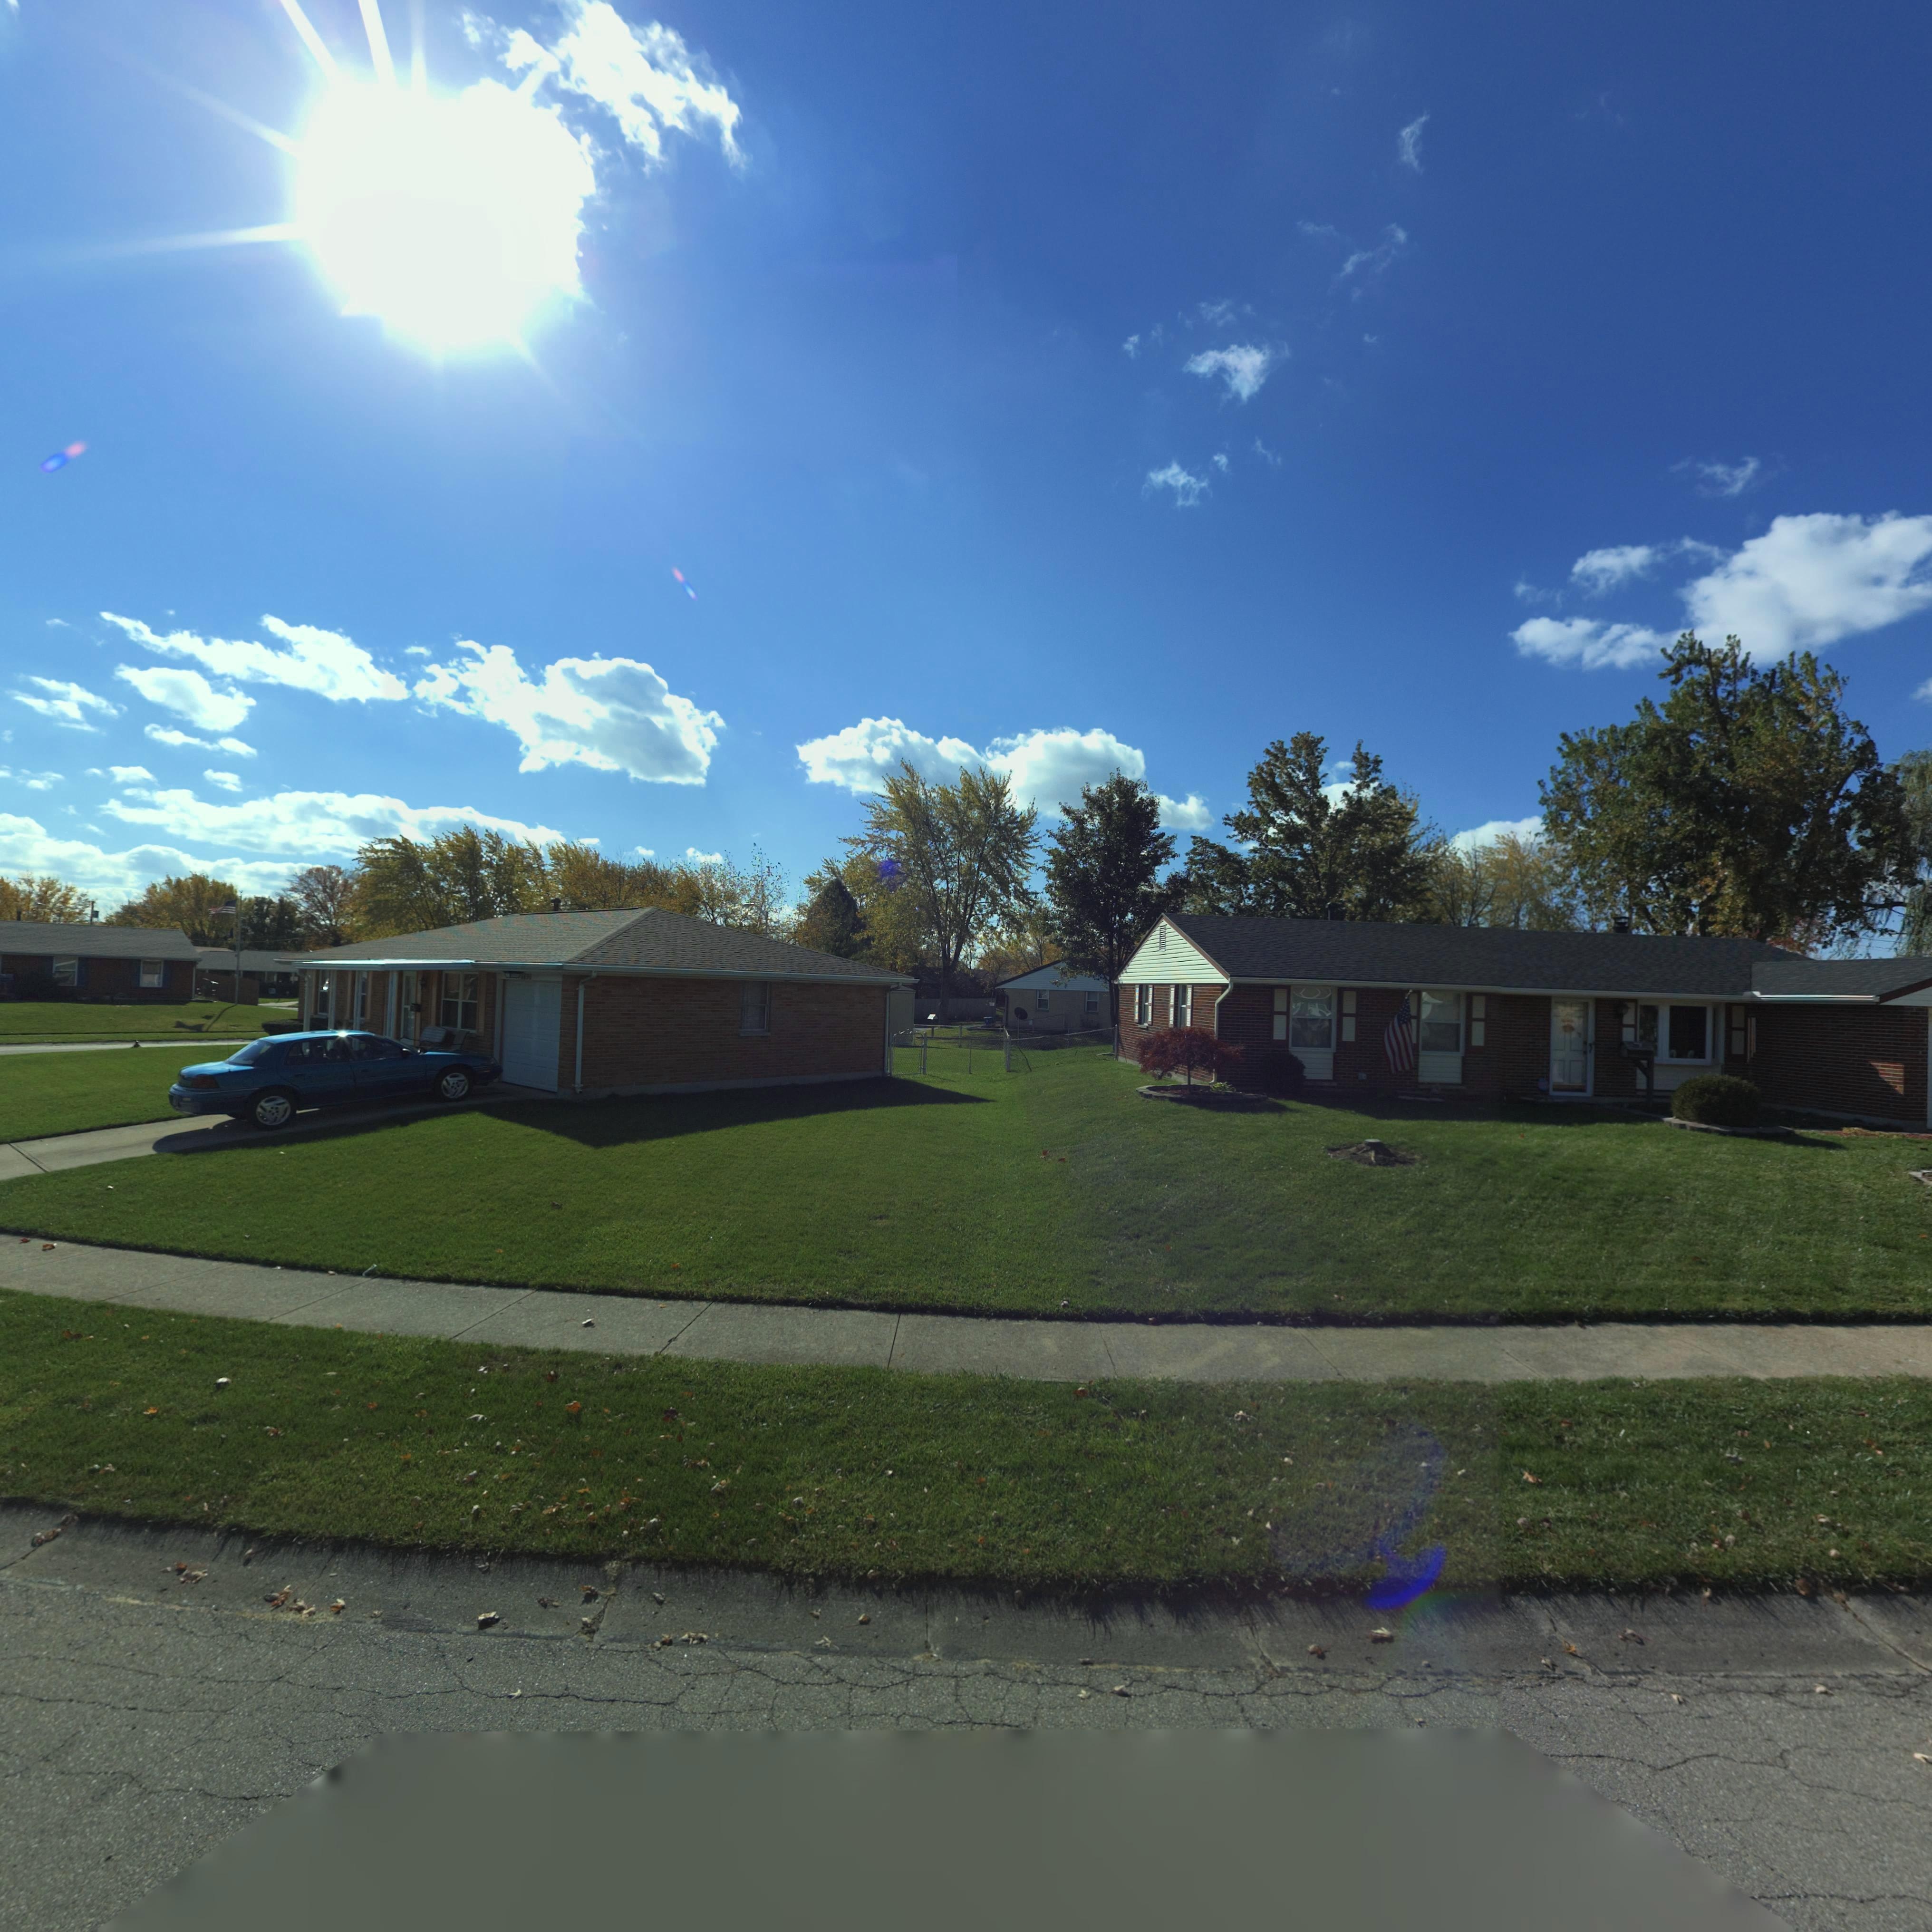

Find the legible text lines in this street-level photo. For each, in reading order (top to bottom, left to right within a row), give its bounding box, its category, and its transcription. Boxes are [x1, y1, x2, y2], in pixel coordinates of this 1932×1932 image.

[520, 973, 532, 980] StreetNumber: 6690